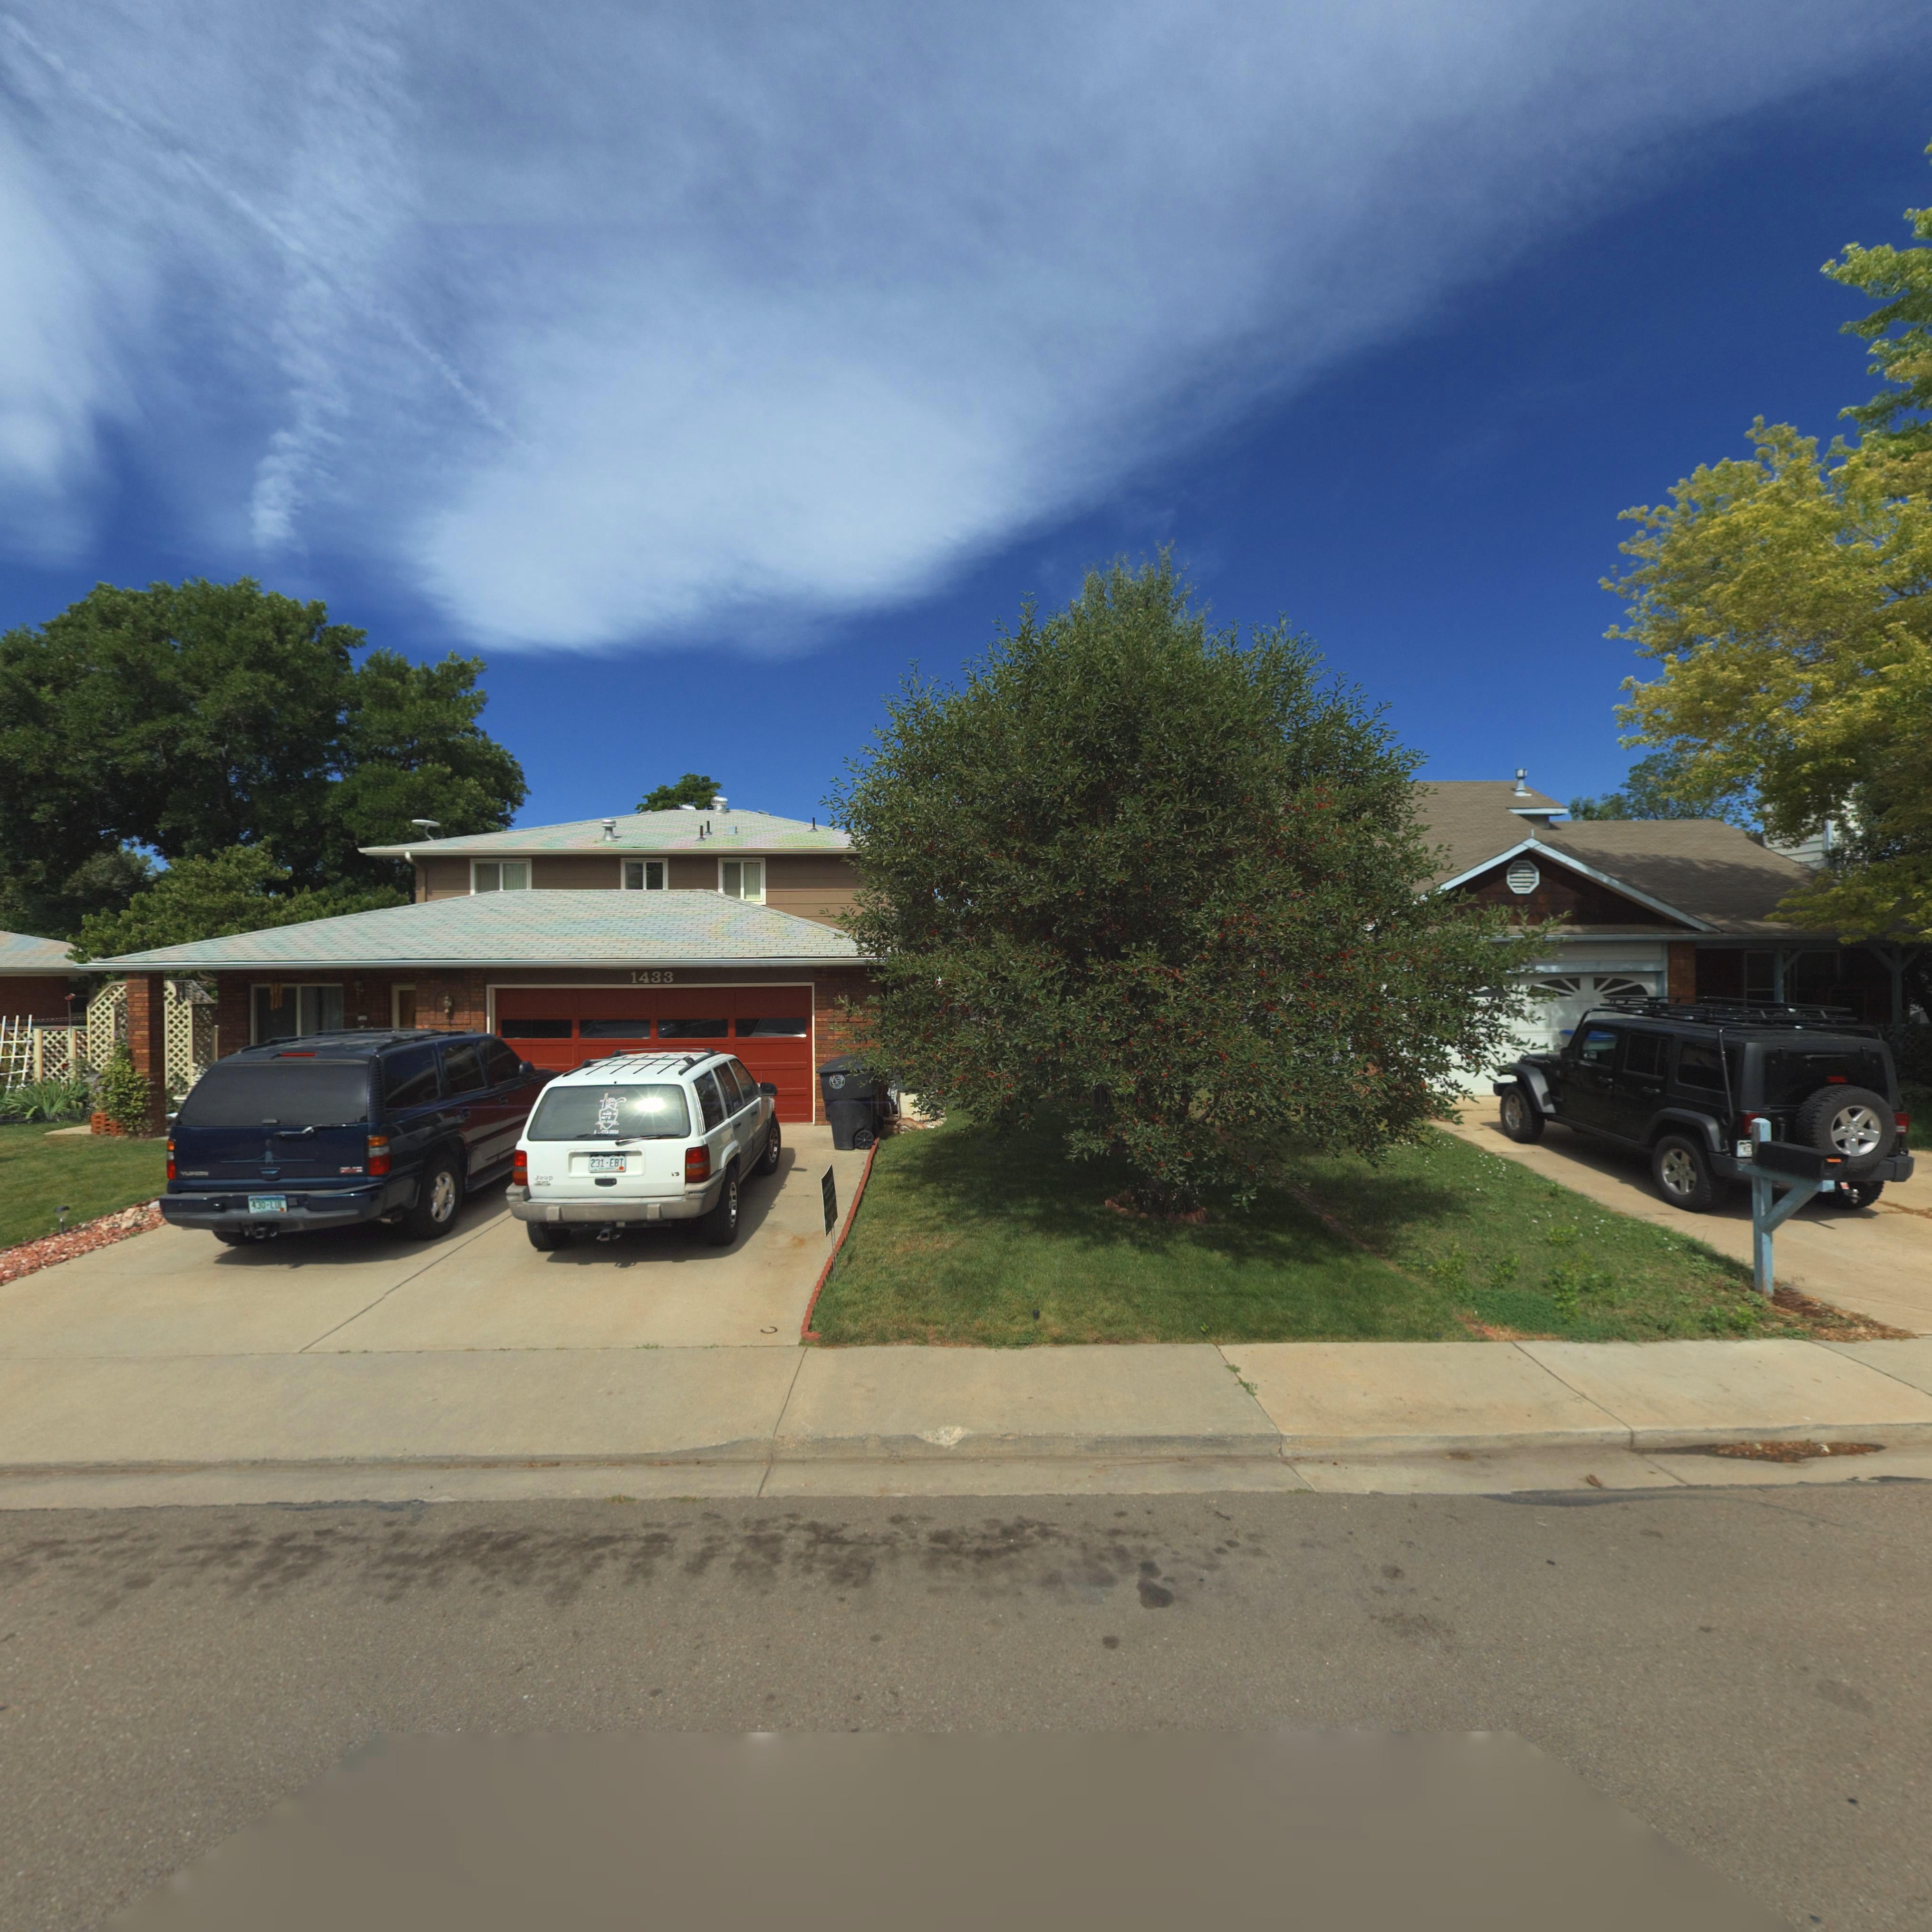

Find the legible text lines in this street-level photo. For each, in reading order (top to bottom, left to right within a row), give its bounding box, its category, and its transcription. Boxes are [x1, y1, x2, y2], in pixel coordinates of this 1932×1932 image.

[629, 971, 674, 984] StreetNumber: 1433